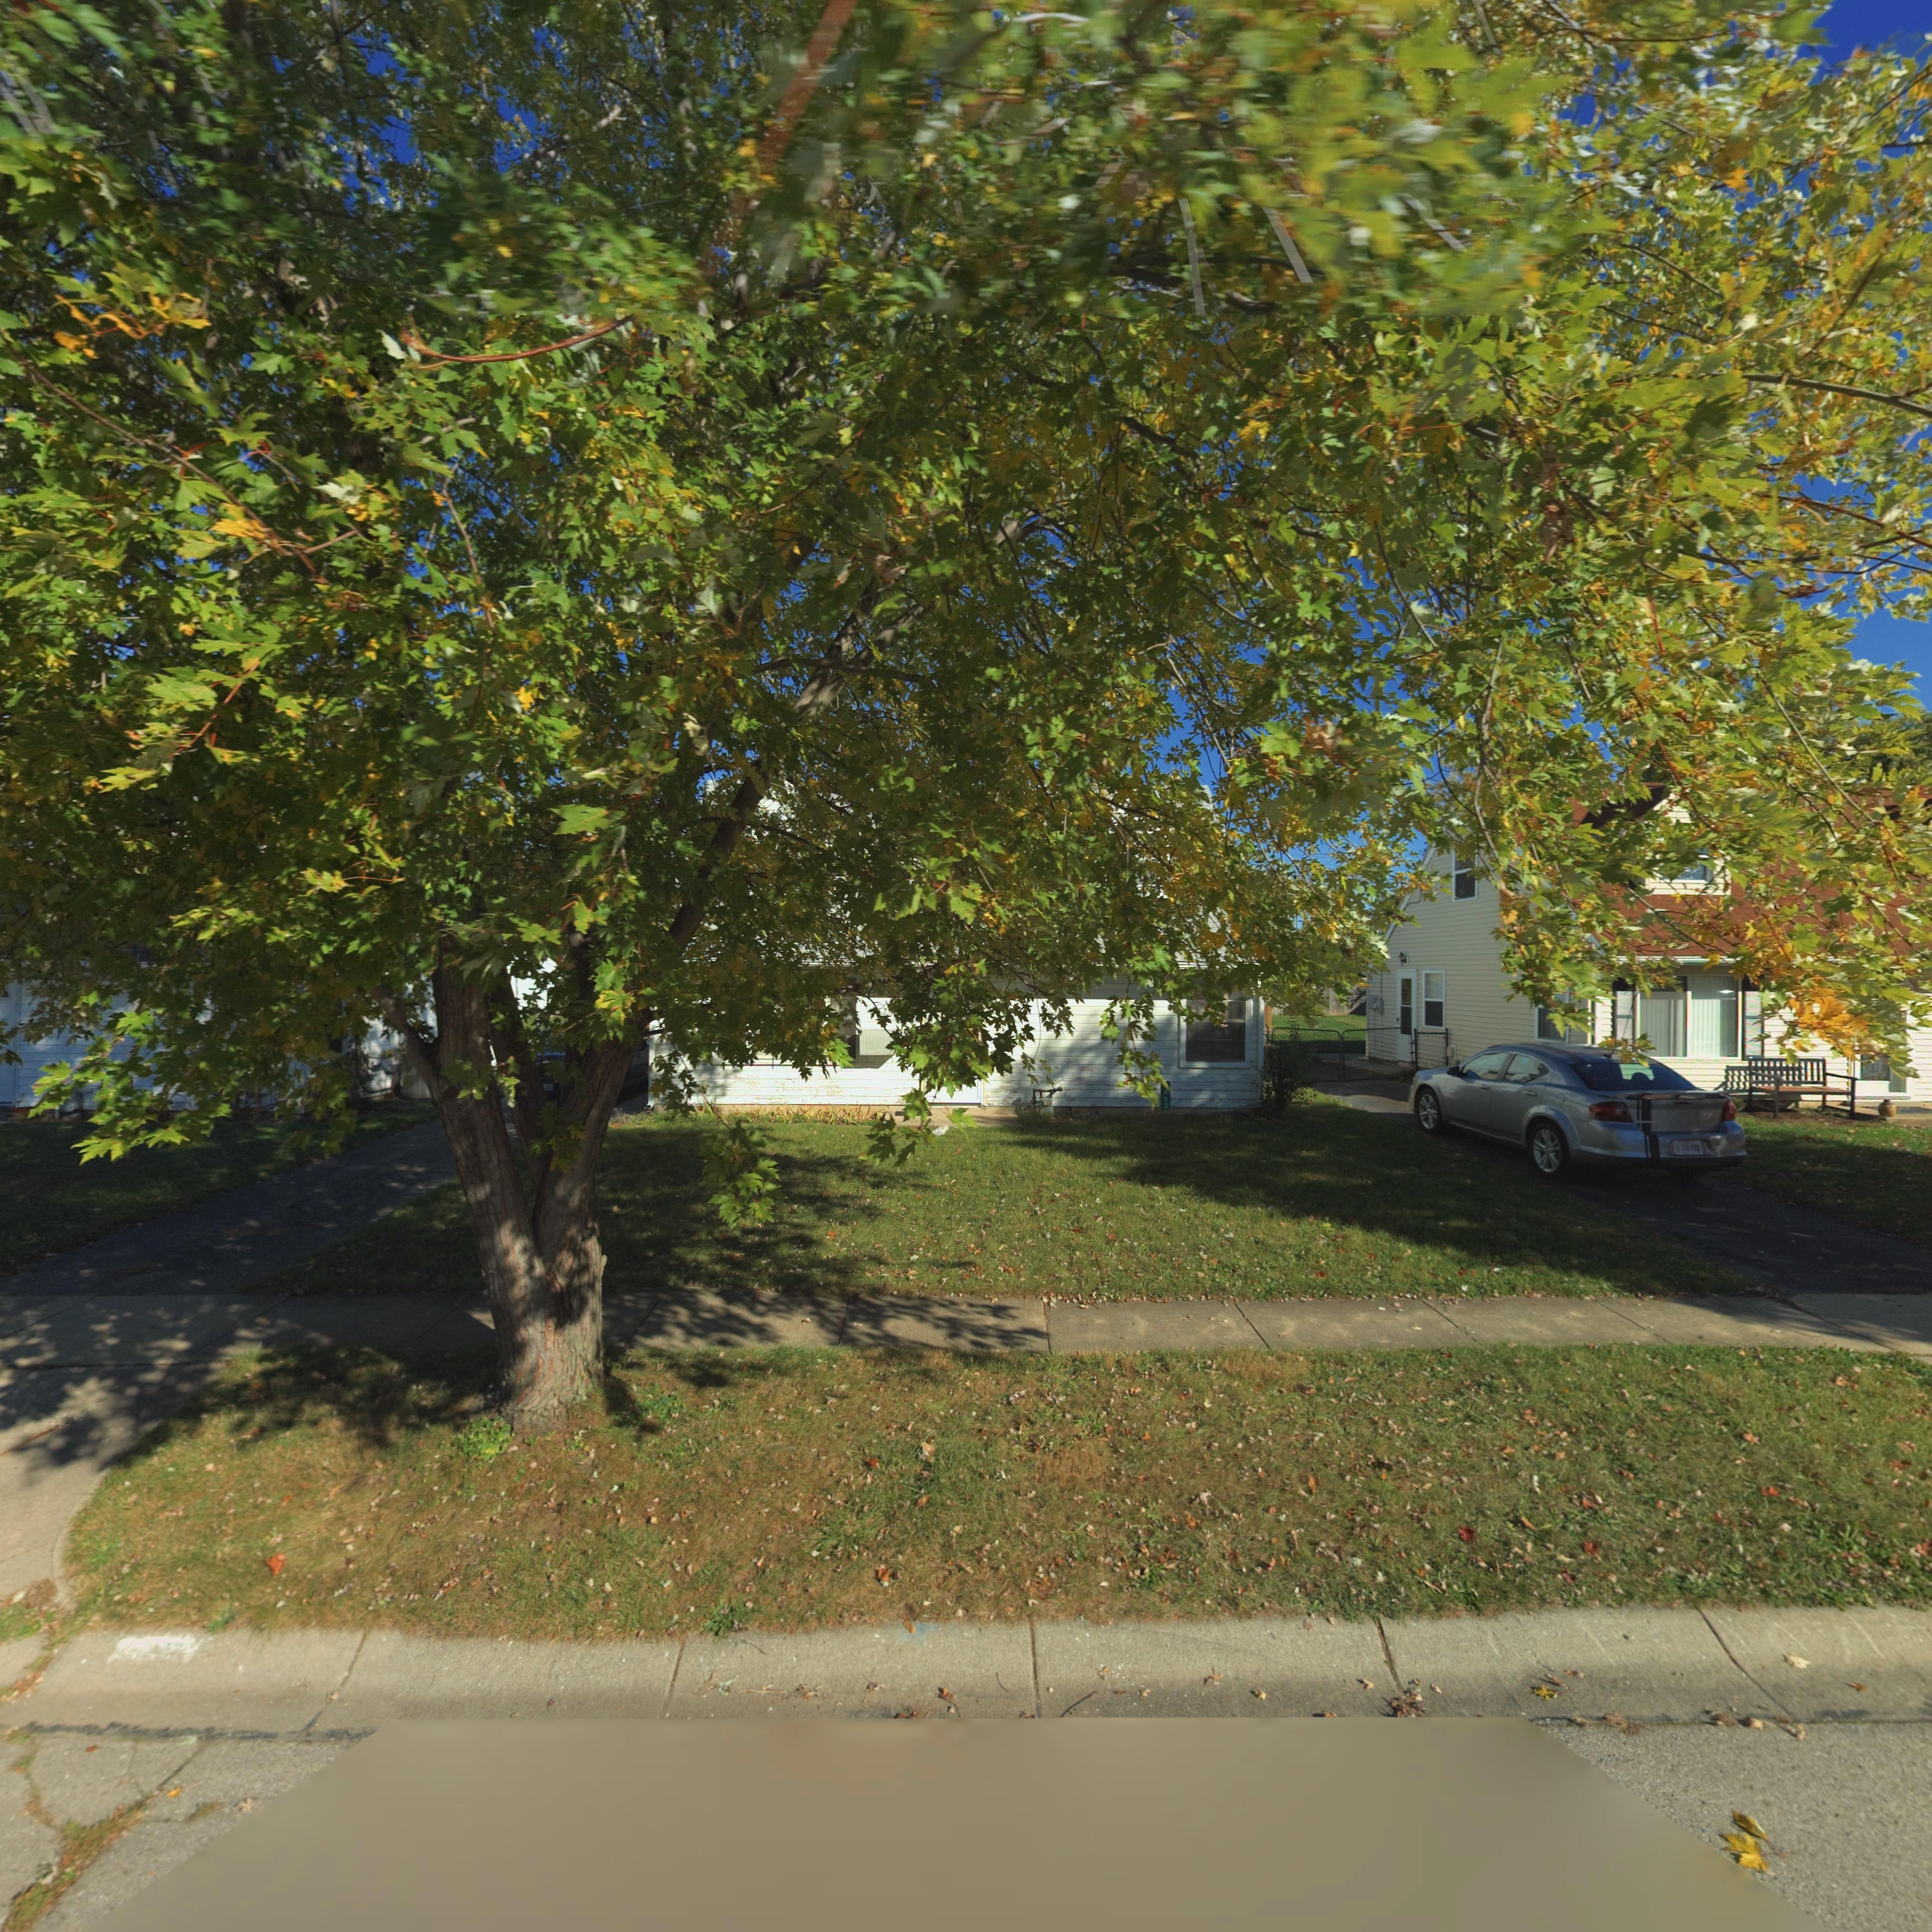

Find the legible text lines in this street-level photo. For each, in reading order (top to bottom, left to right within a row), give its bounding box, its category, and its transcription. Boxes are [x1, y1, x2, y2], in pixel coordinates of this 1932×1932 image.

[1163, 1089, 1168, 1109] StreetNumber: 453